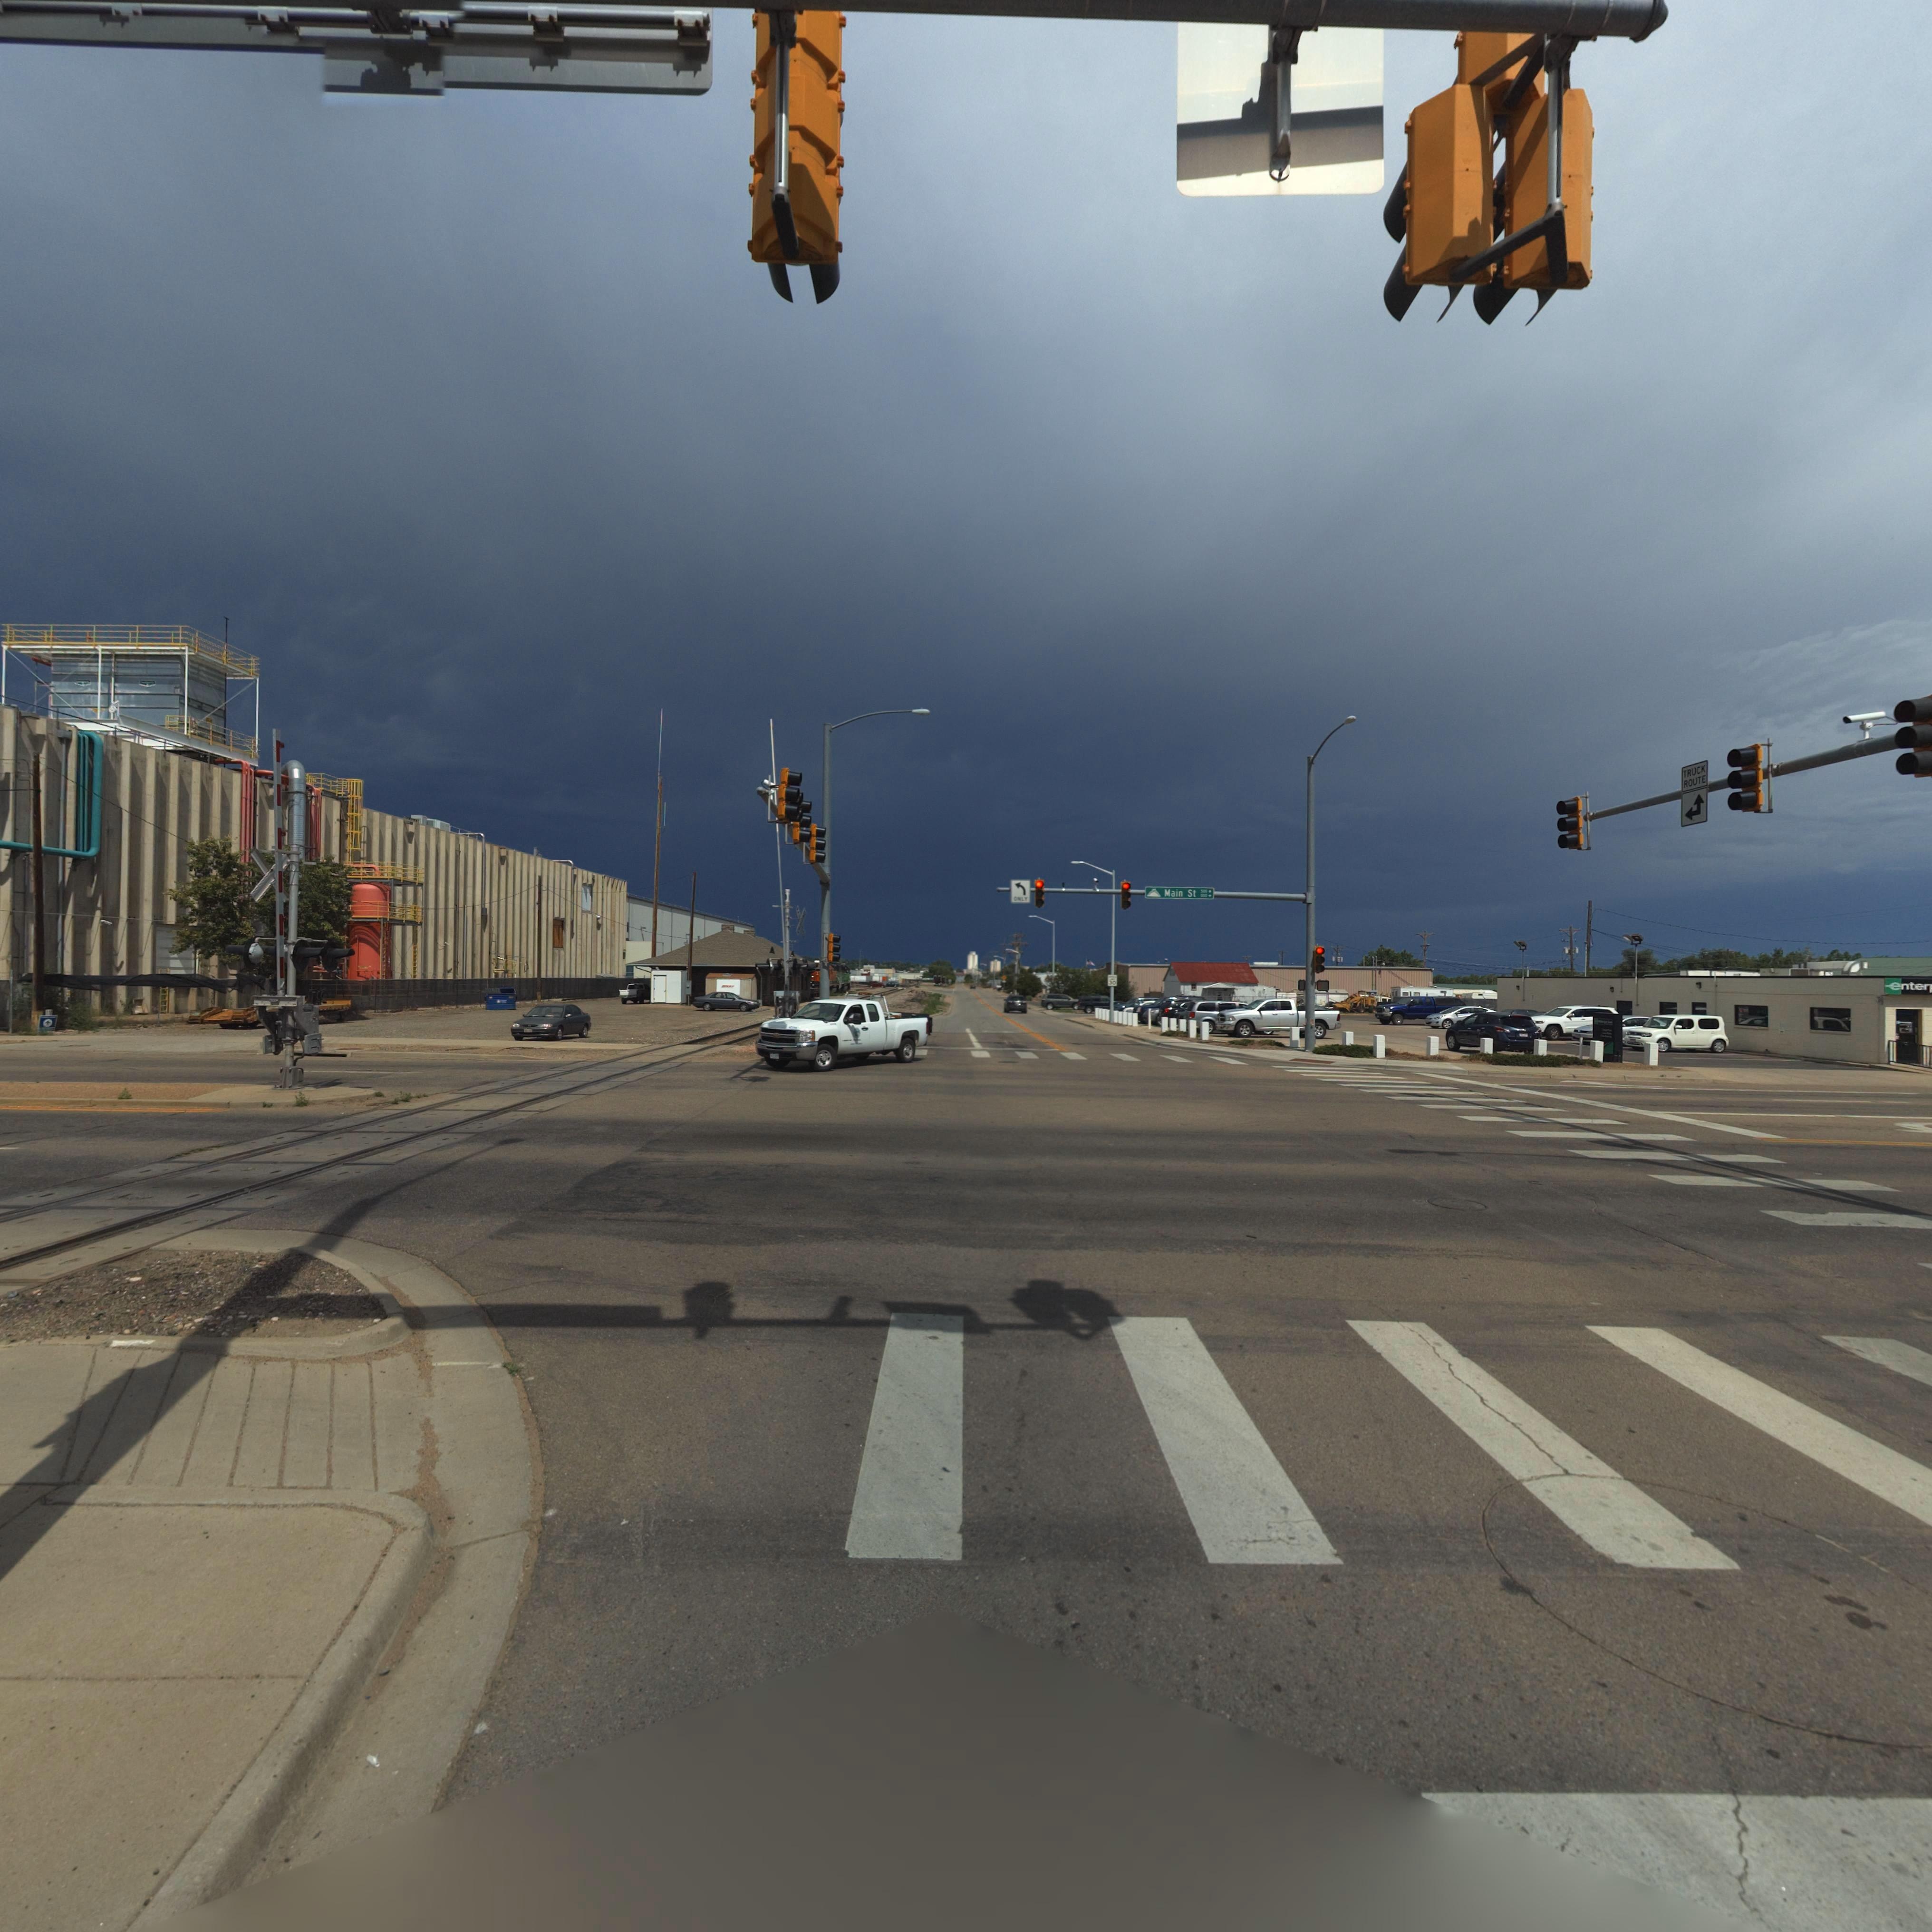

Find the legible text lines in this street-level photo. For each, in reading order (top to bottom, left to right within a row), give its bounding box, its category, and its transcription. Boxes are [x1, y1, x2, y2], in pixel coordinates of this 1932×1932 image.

[1164, 889, 1196, 897] StreetName: Main St
[1200, 889, 1207, 892] StreetNumberRange: 500
[1200, 893, 1212, 897] StreetNumberRange: *00 **
[1884, 981, 1931, 991] BusinessName: enter